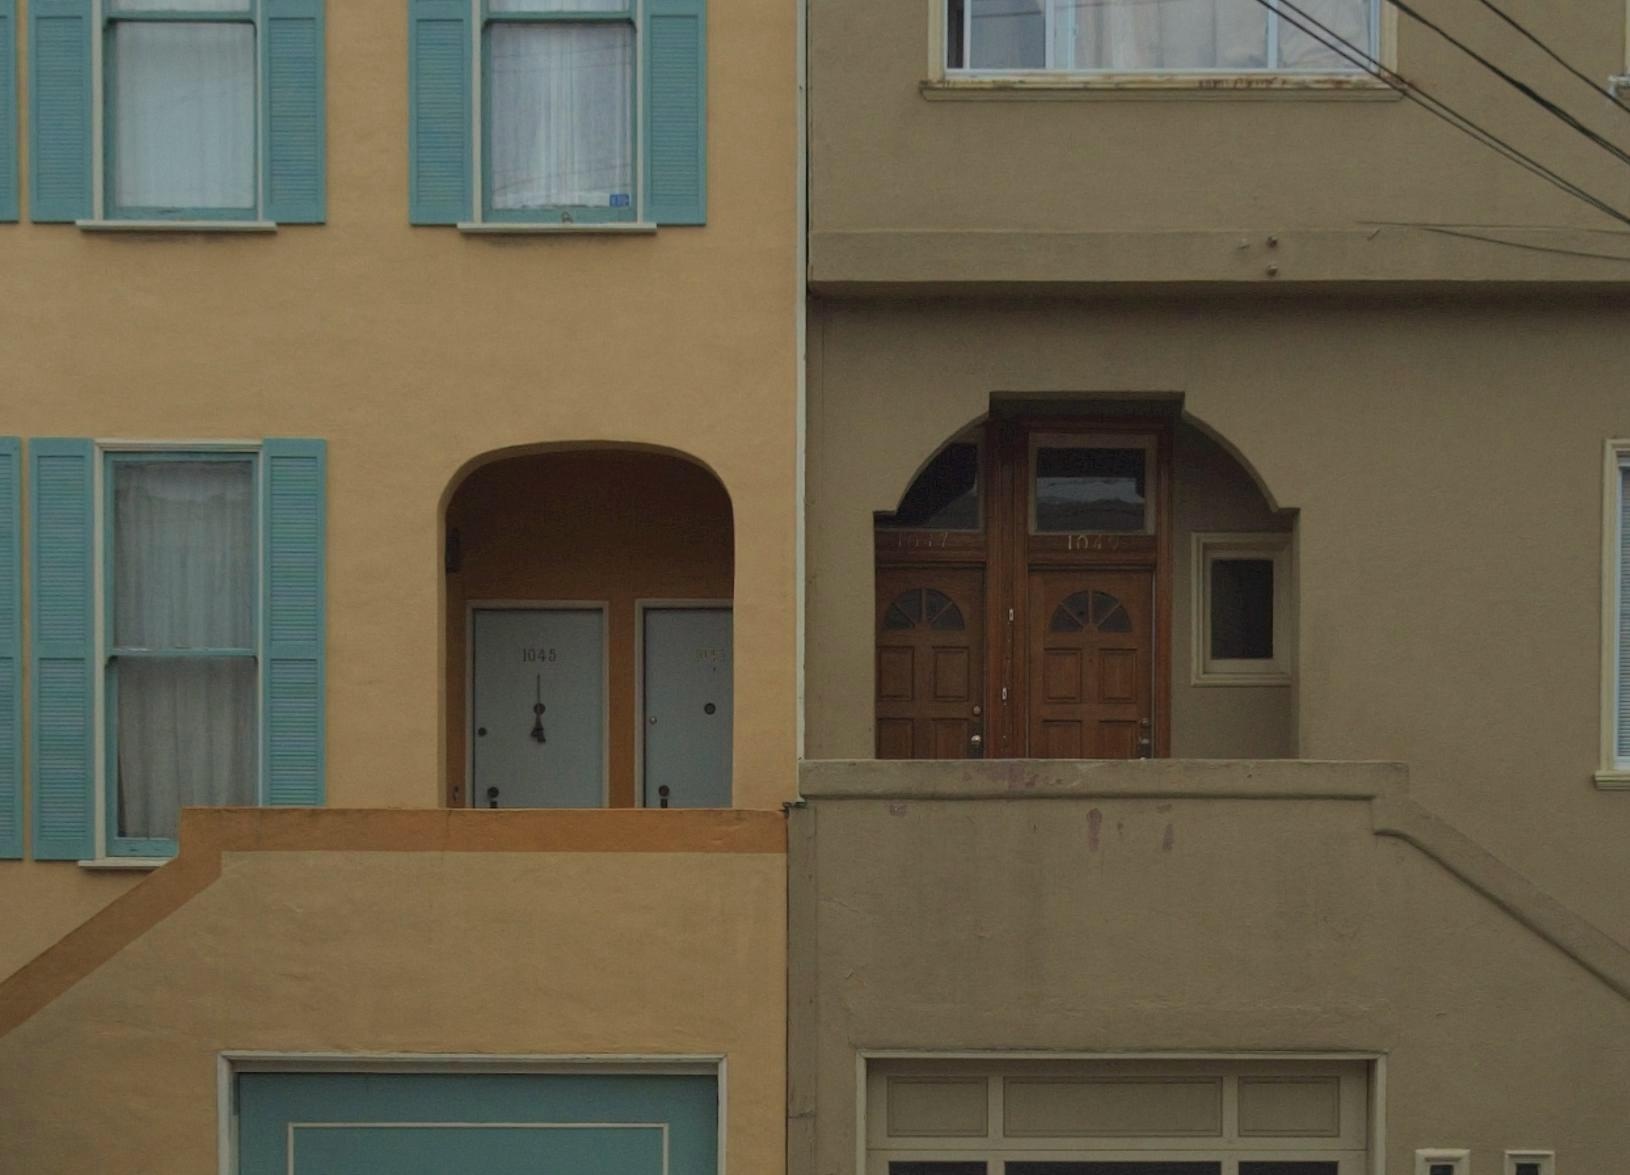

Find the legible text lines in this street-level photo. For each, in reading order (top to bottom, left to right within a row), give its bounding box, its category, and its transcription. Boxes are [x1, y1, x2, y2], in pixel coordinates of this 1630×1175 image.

[896, 530, 948, 548] StreetNumber: 1047
[1065, 533, 1124, 552] StreetNumber: 104*
[521, 646, 558, 664] StreetNumber: 1045
[693, 646, 726, 662] StreetNumber: 1045